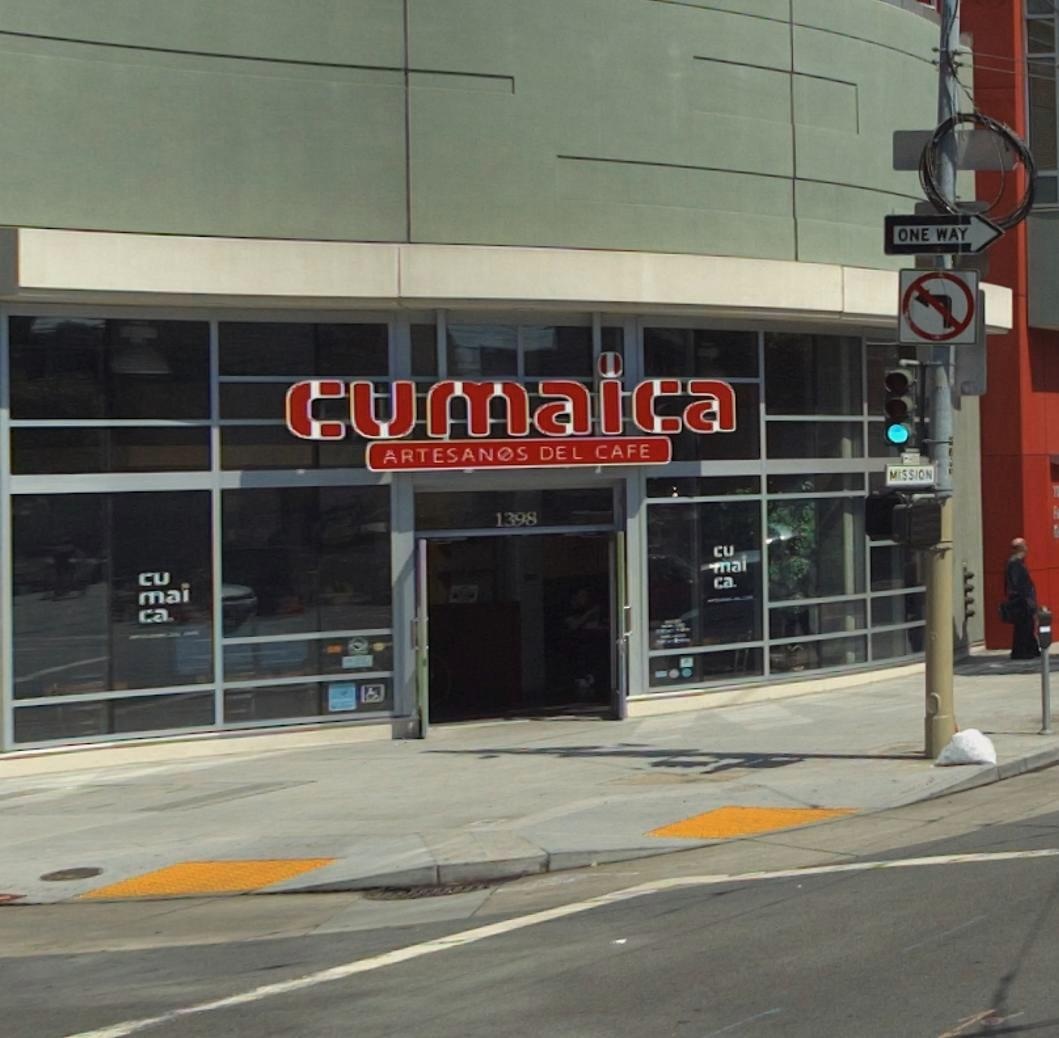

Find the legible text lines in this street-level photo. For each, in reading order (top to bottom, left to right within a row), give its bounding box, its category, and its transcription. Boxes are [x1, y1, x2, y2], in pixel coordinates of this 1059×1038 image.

[897, 227, 969, 241] None: ONE WAY
[280, 349, 738, 441] BusinessName: cumaica
[381, 443, 652, 465] BusinessName: ARTESAN0S DEL CAFE
[888, 468, 933, 481] StreetName: MISSION
[495, 510, 538, 528] StreetNumber: 1398
[712, 543, 735, 557] None: cu
[713, 553, 746, 574] None: mai
[137, 570, 169, 586] None: cu
[713, 575, 738, 590] None: ca.
[137, 580, 190, 606] None: mai
[136, 607, 174, 624] None: ca.